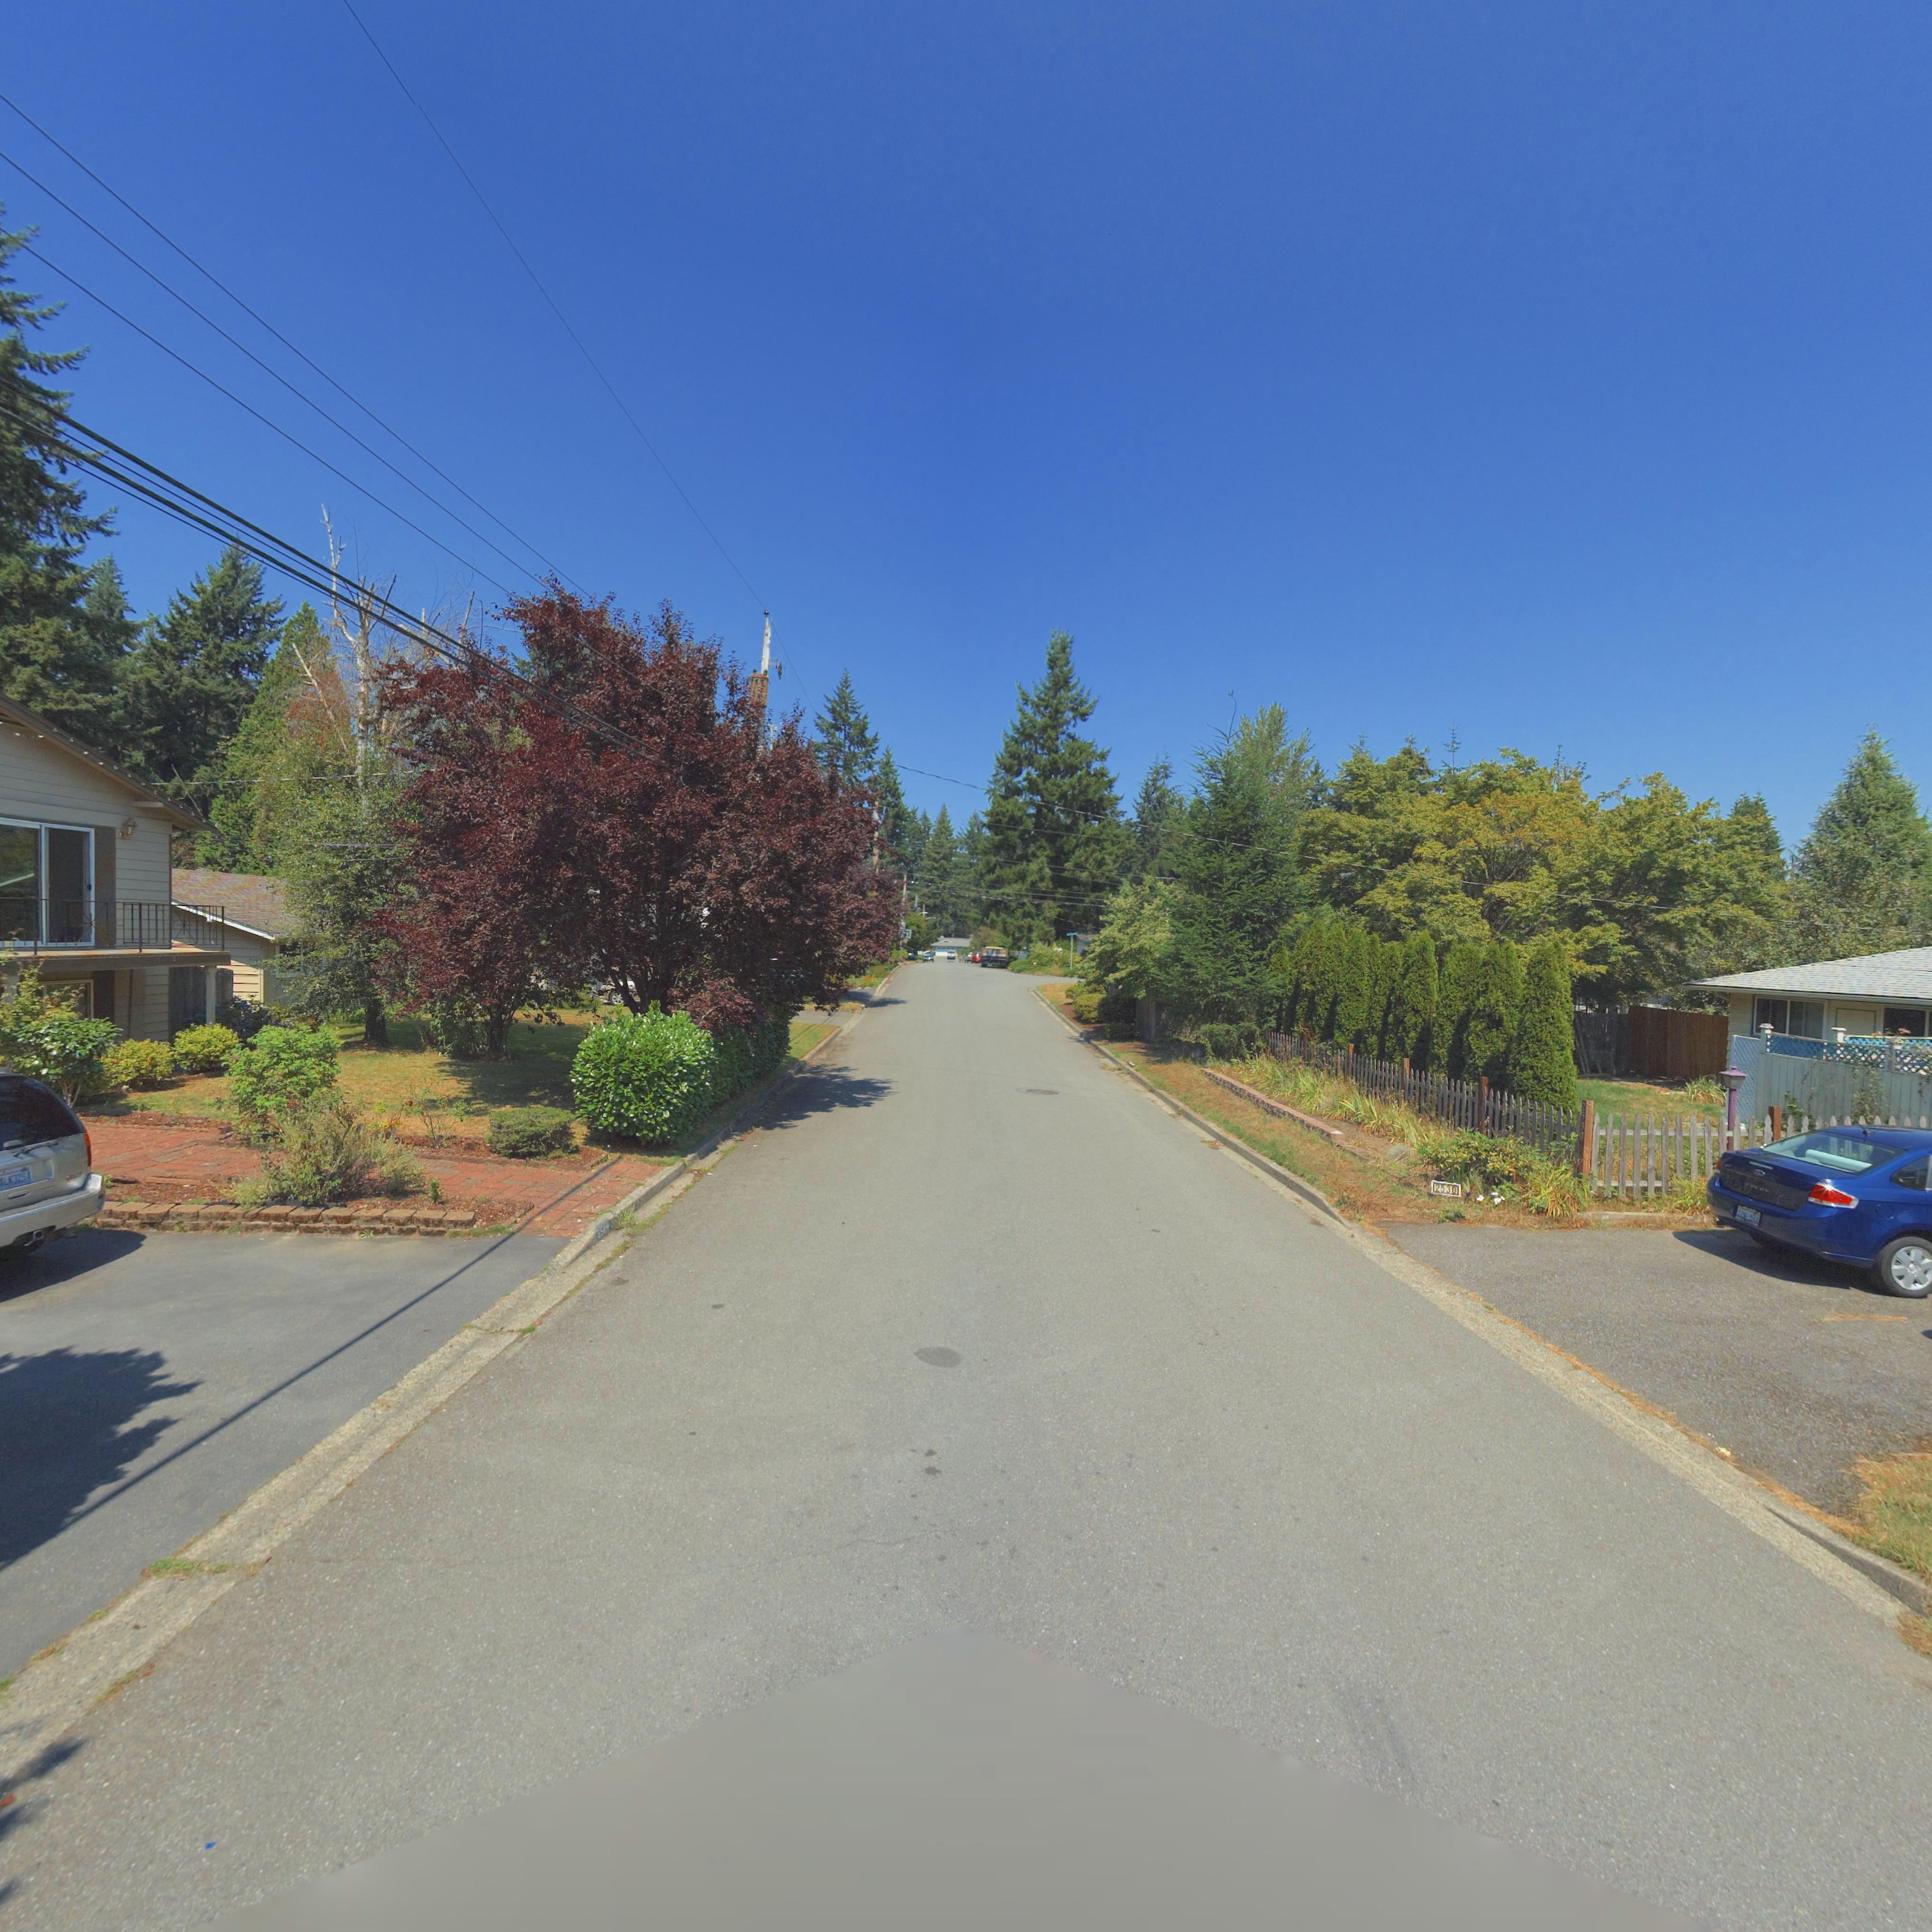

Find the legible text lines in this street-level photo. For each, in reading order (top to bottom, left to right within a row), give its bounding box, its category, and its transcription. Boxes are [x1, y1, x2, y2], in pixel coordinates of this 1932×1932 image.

[1435, 1183, 1456, 1196] StreetNumber: 2530